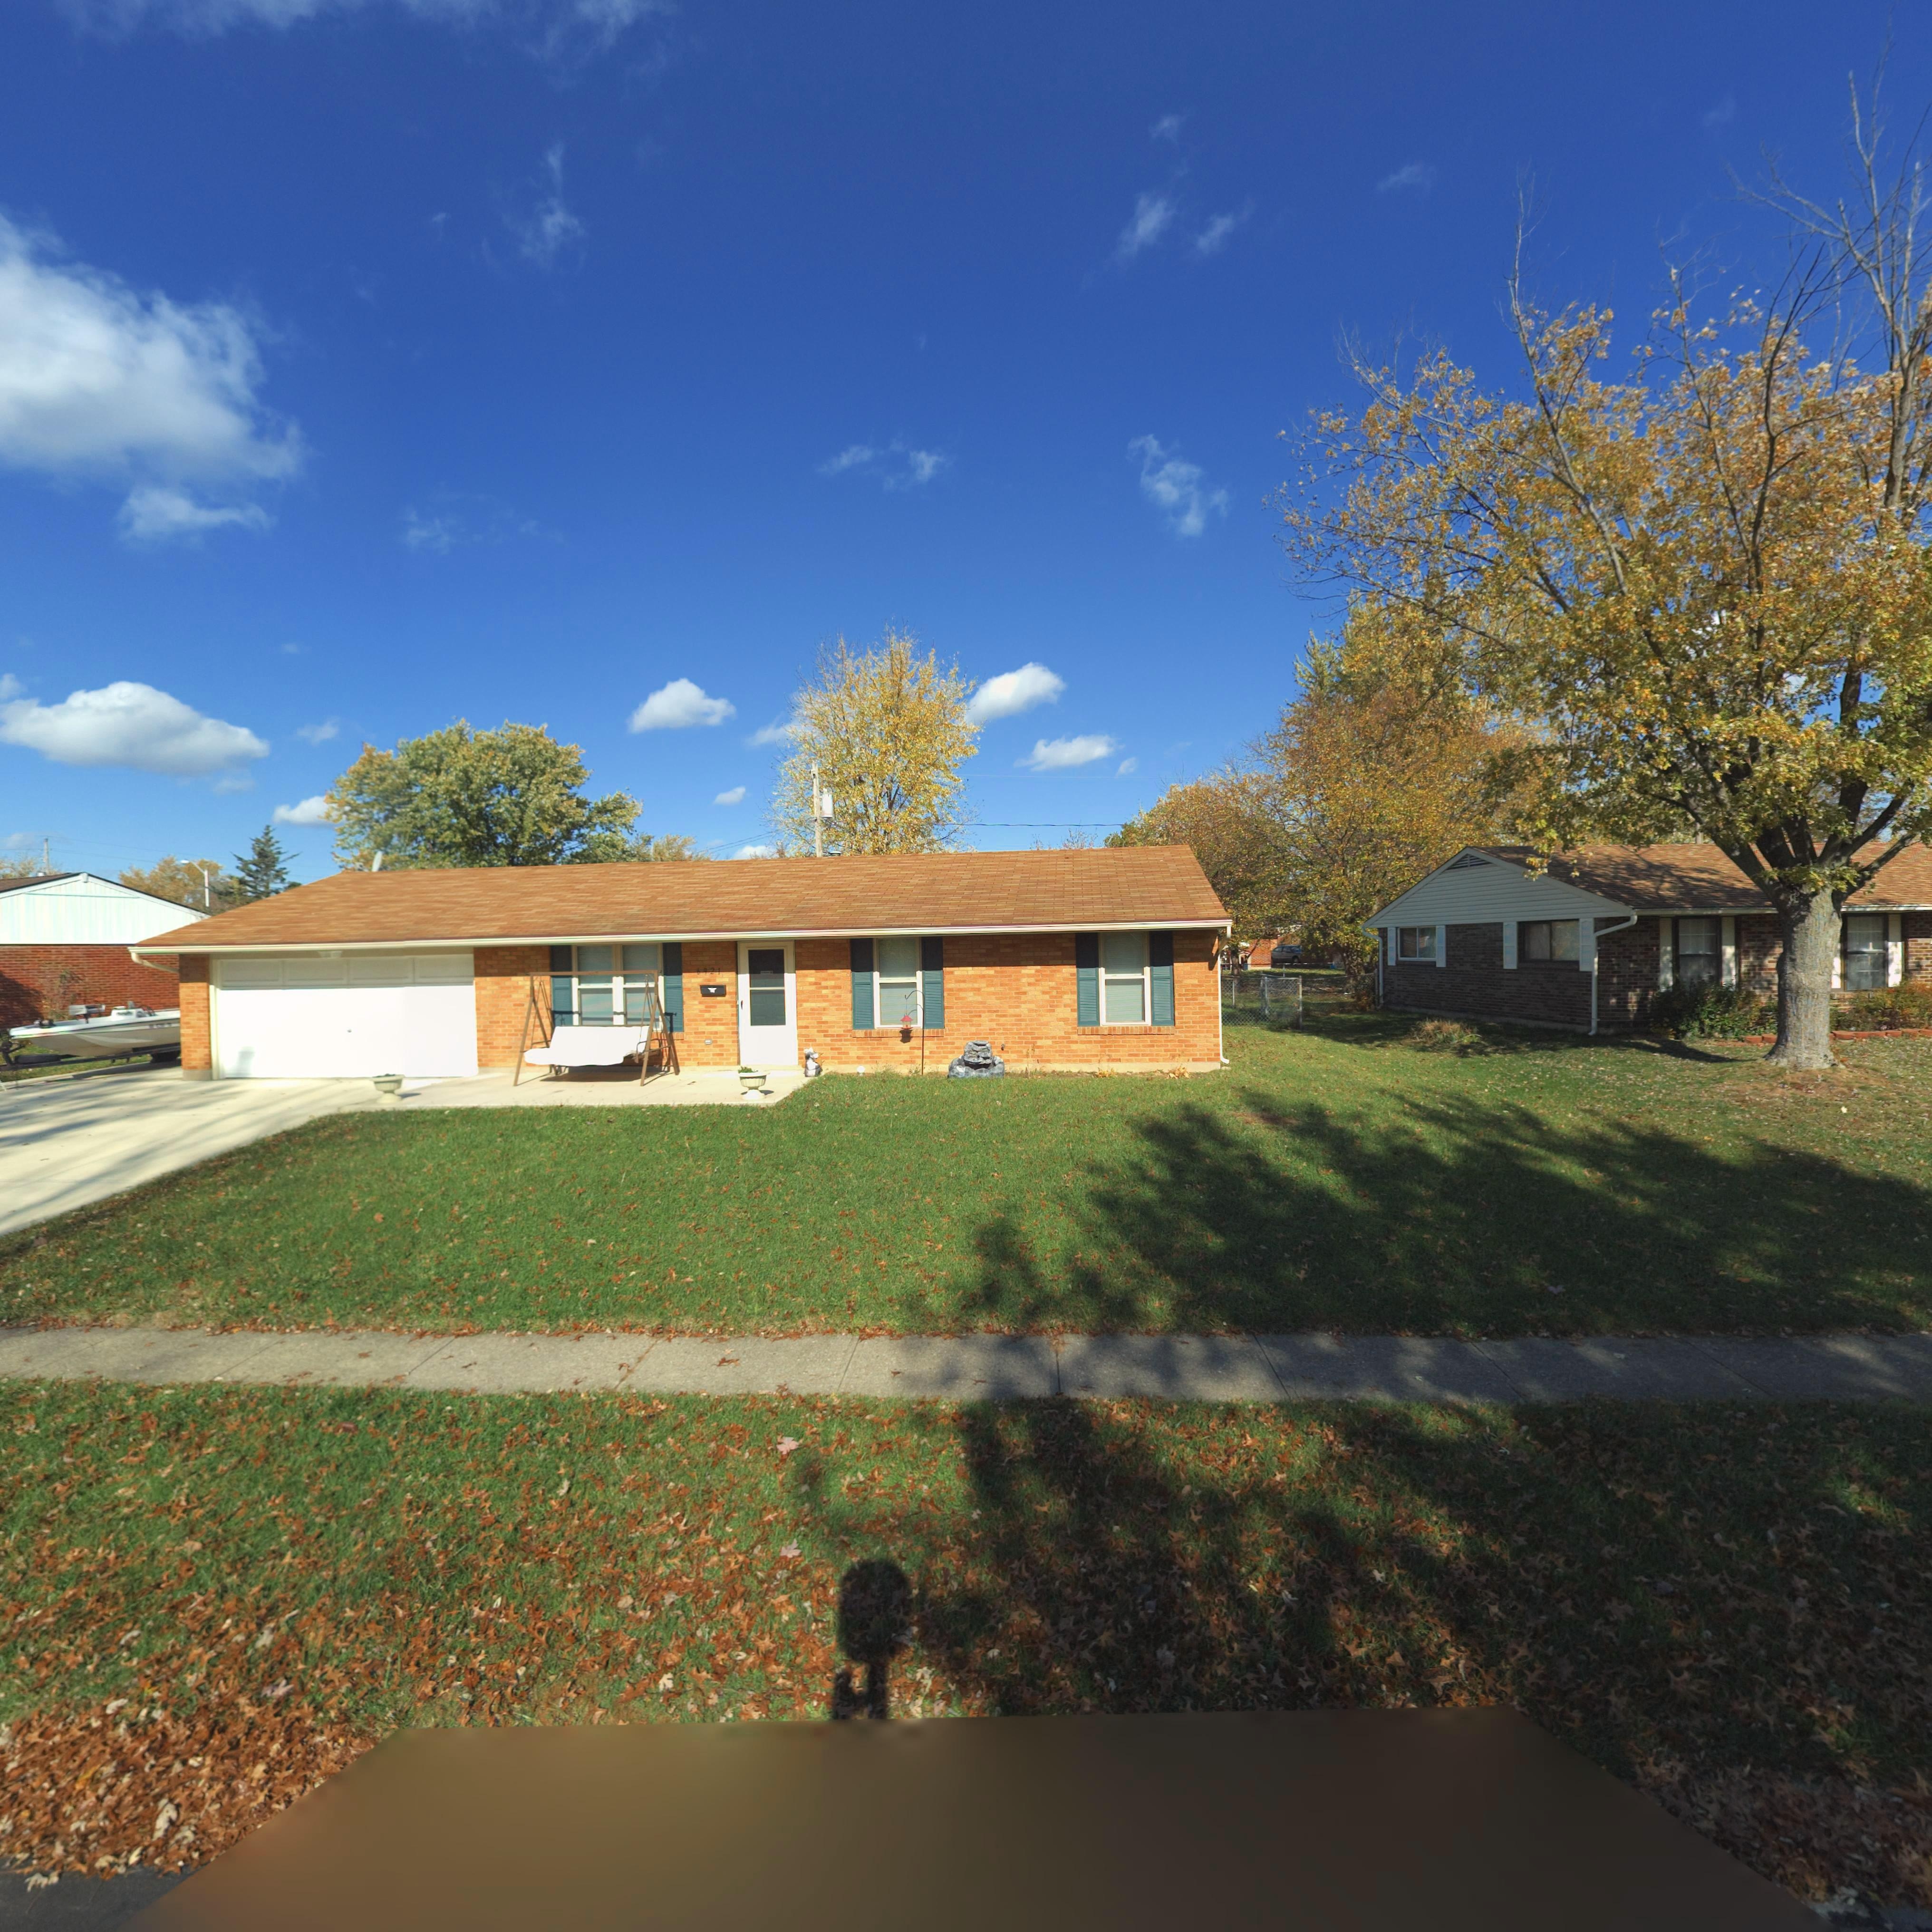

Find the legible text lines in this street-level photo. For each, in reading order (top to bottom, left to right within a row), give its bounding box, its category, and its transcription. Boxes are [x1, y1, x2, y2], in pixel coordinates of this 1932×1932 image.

[695, 966, 722, 976] StreetNumber: 6921